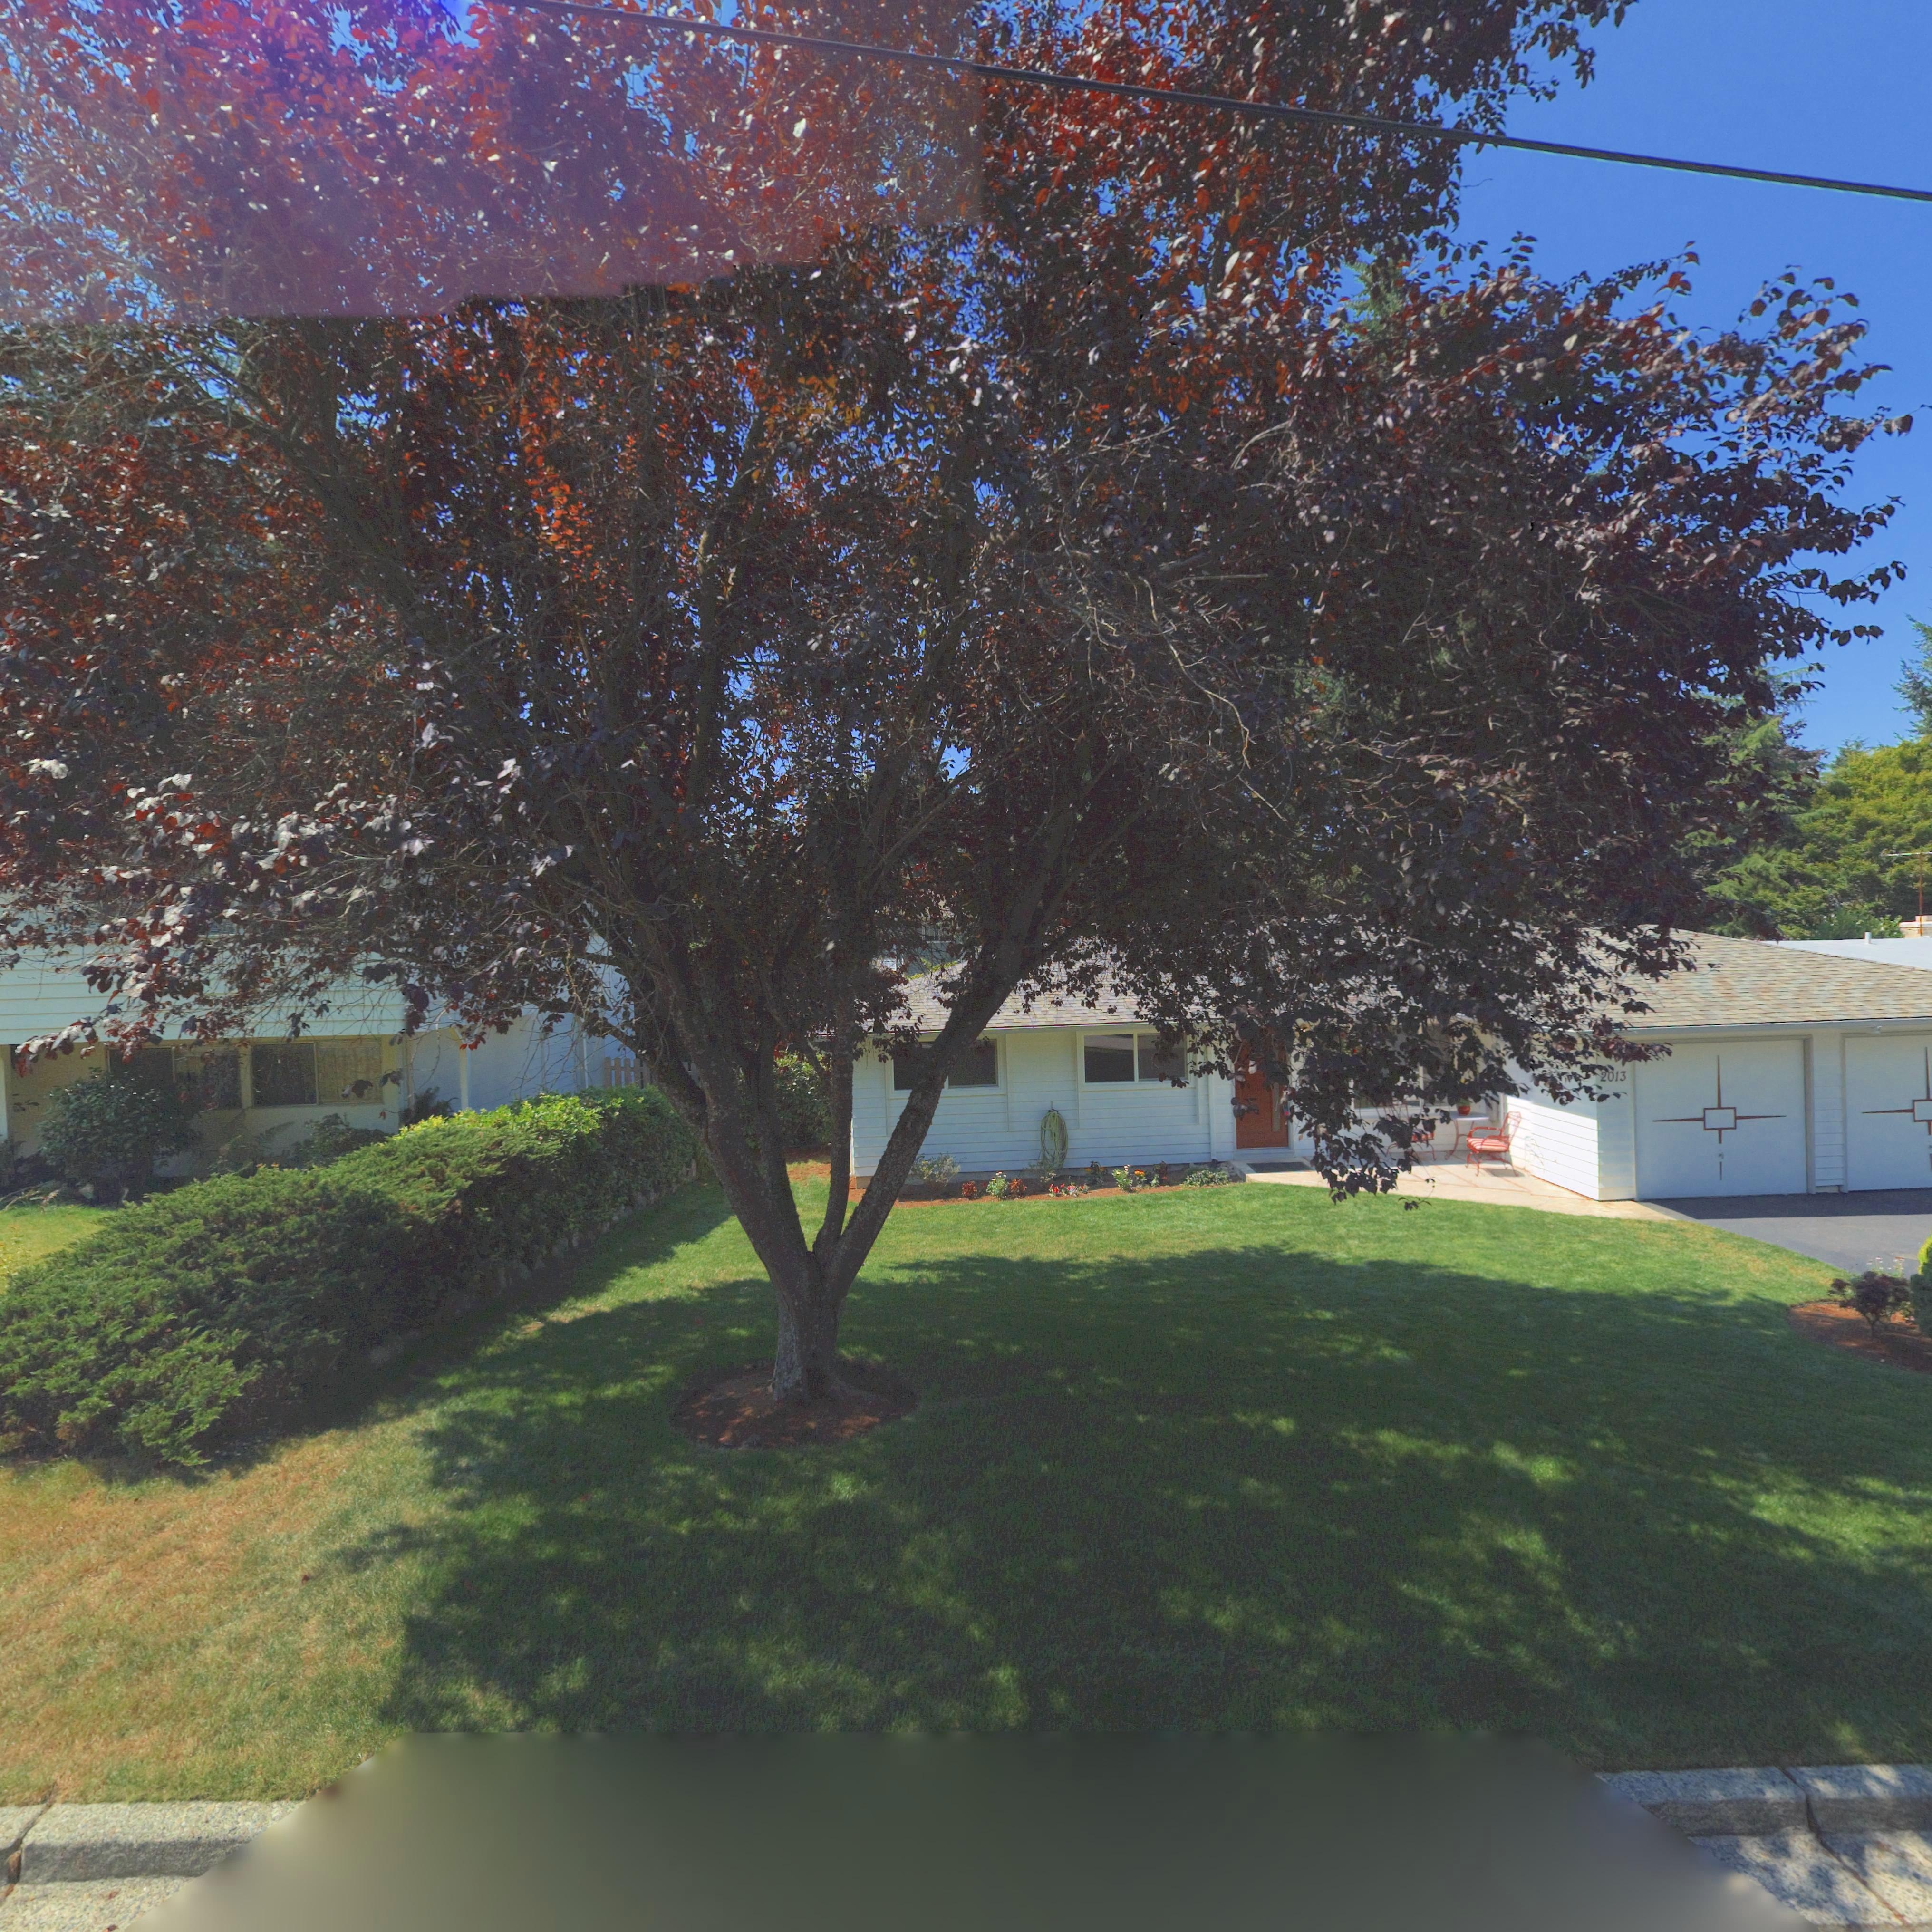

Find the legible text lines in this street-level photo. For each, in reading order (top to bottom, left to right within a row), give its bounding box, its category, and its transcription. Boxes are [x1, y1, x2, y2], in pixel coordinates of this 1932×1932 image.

[1601, 1071, 1627, 1082] StreetNumber: 2013